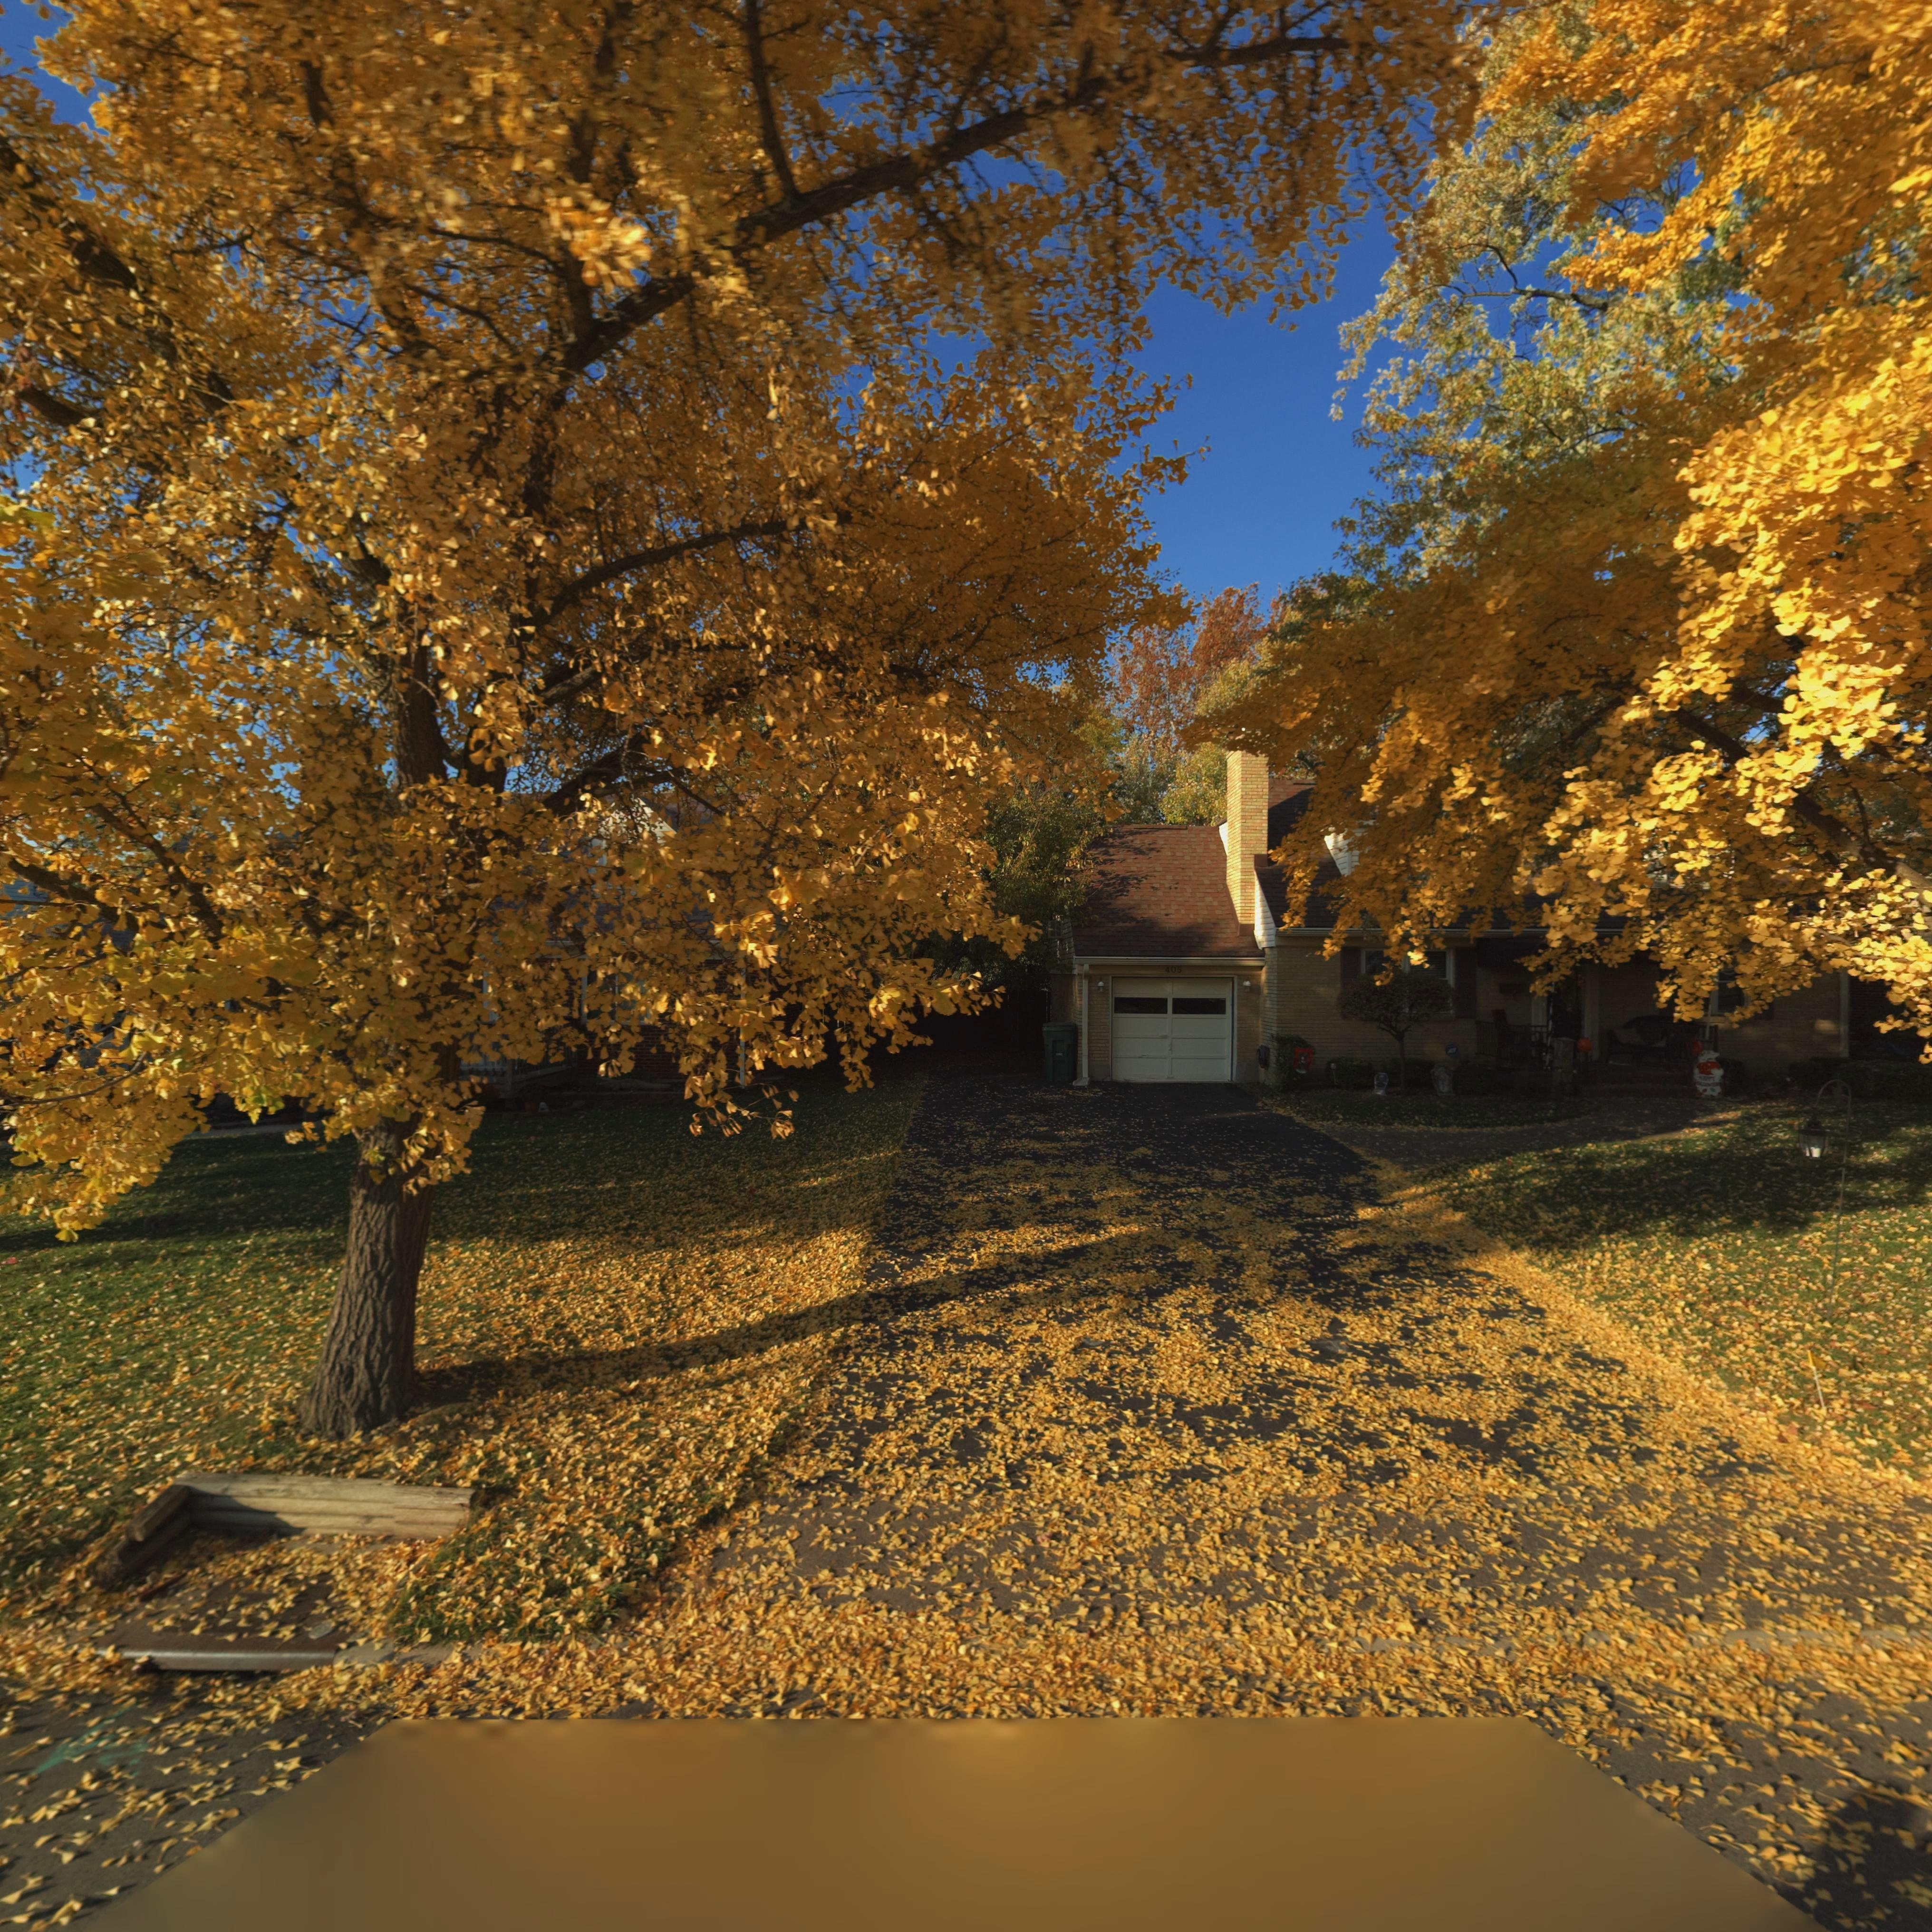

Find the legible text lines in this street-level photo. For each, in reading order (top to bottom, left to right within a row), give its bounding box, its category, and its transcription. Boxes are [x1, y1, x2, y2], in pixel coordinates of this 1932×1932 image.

[1164, 965, 1183, 974] StreetNumber: 405